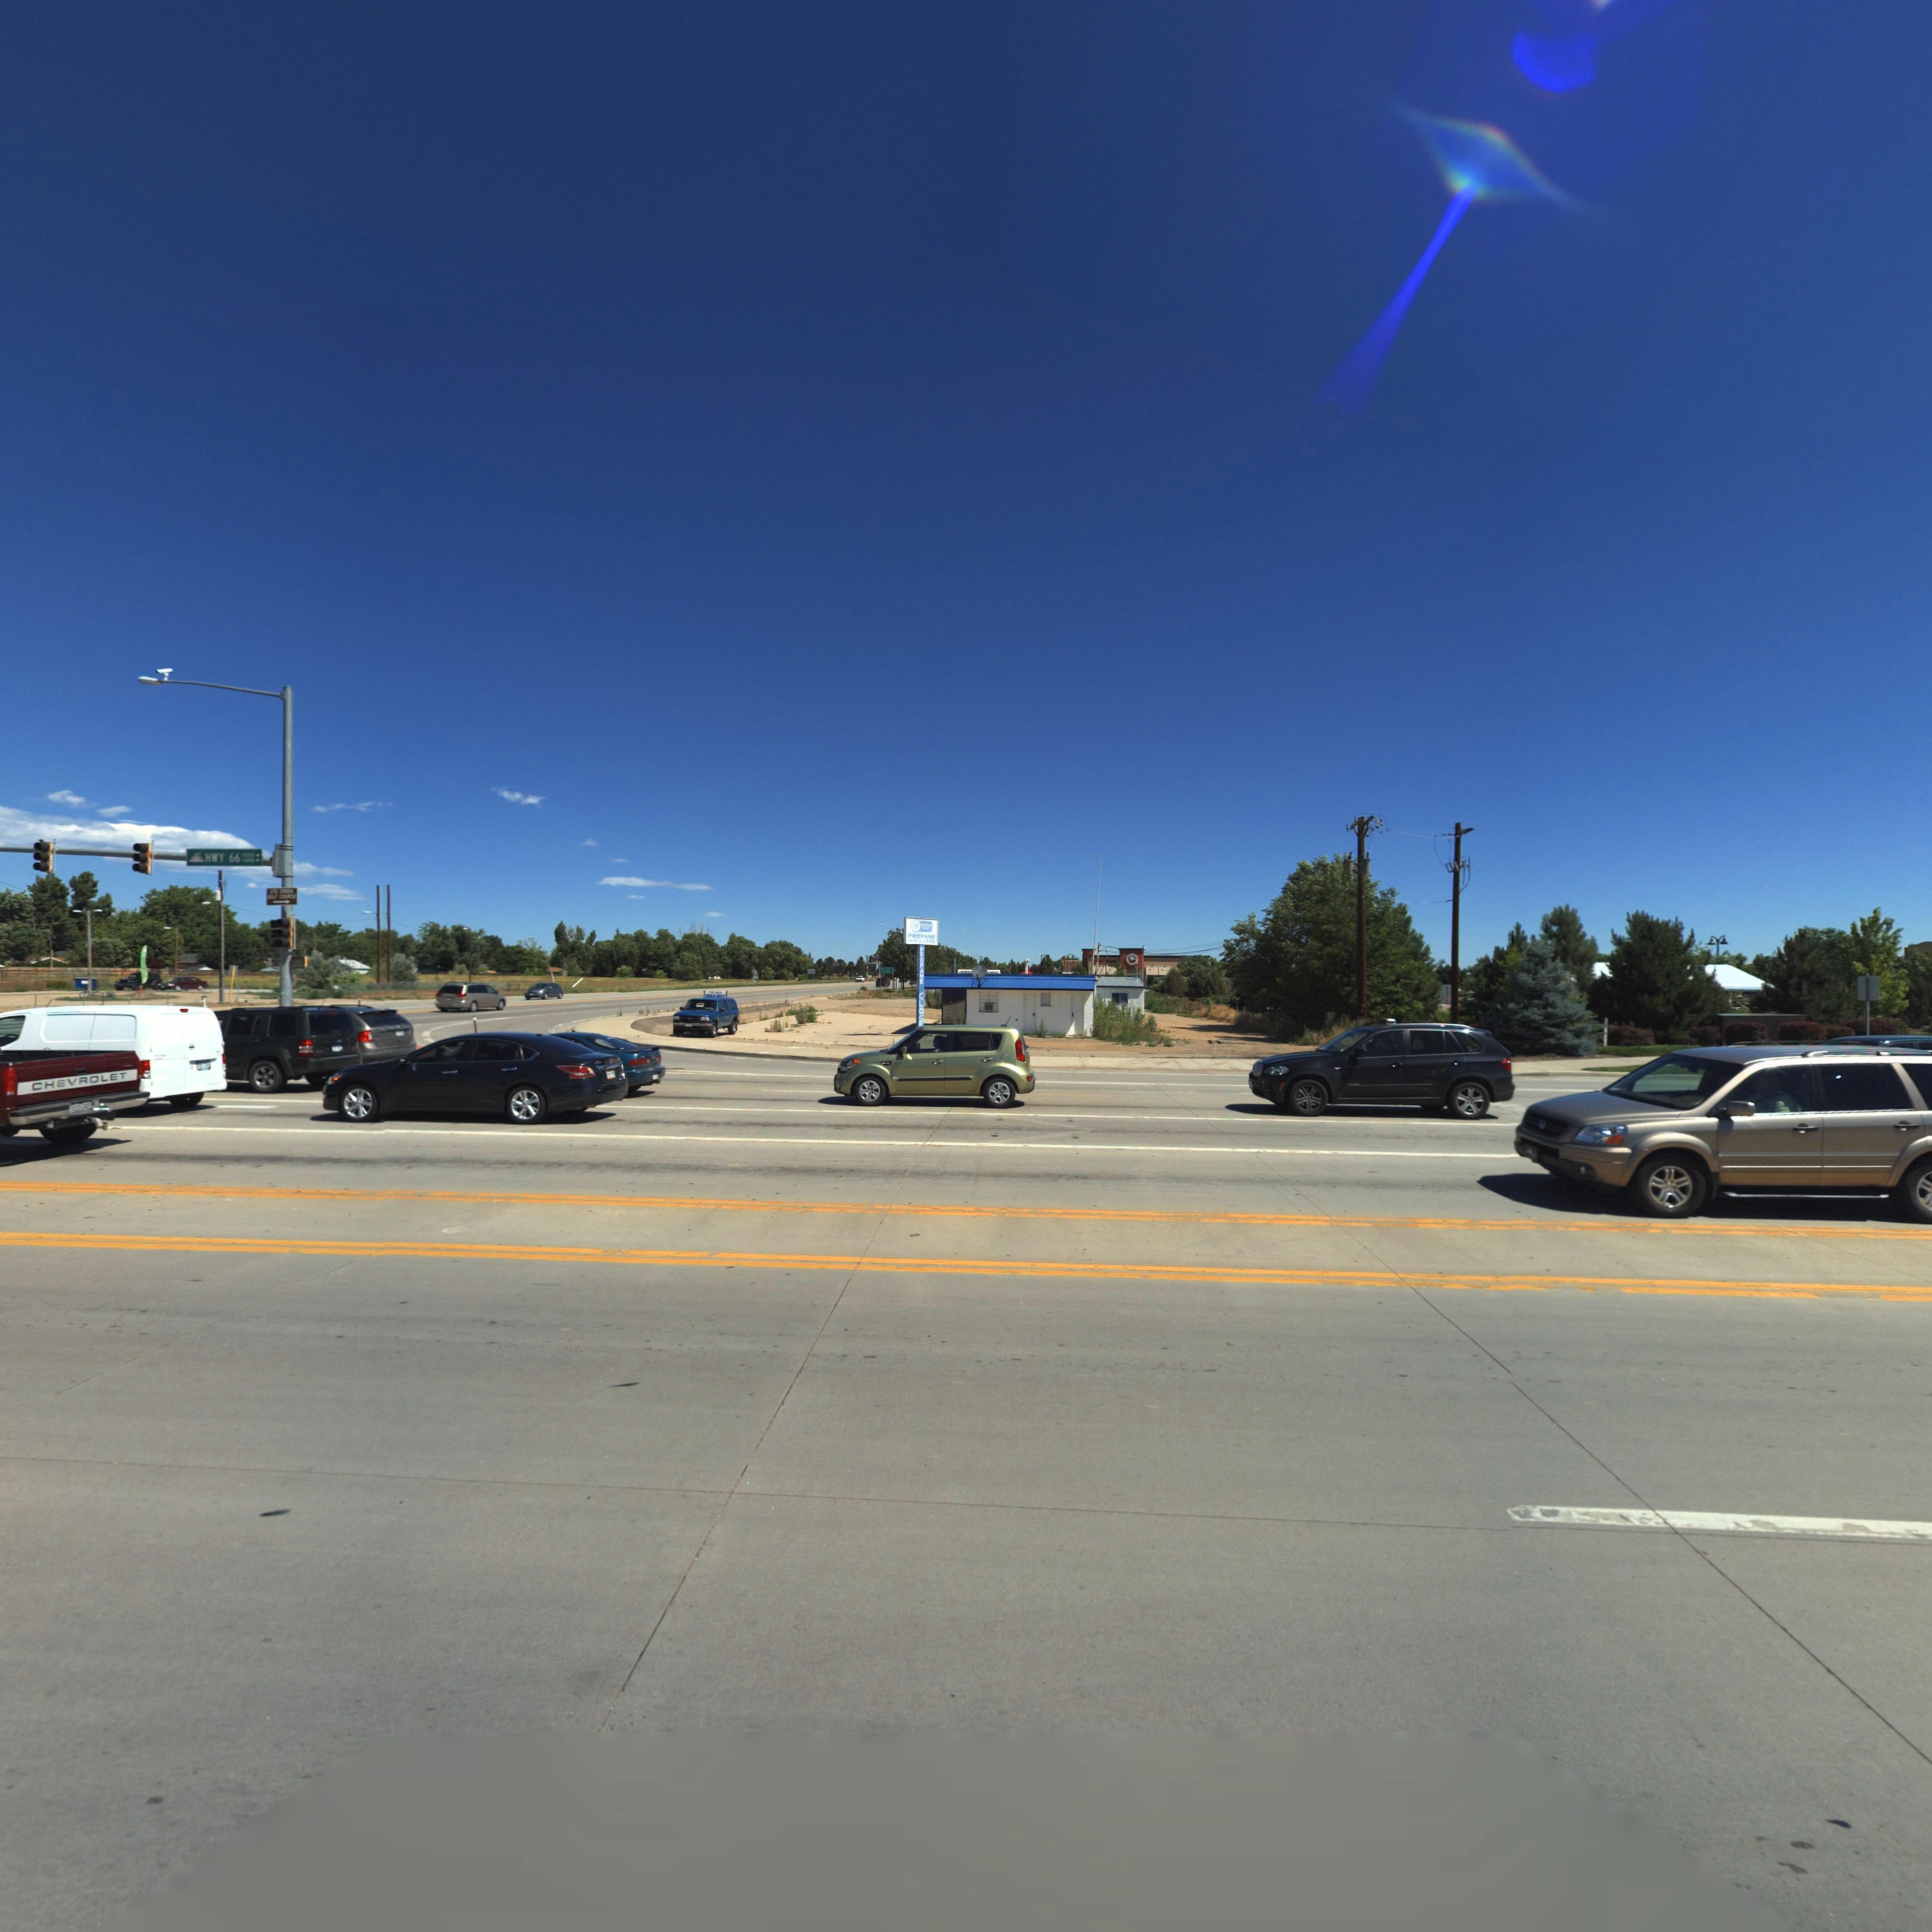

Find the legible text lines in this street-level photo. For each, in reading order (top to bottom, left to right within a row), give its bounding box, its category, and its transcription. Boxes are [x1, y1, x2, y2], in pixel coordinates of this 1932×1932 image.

[204, 852, 241, 863] StreetName: HWY 66
[241, 852, 255, 858] StreetNumberRange: 12****
[242, 858, 260, 863] StreetNumberRange: ***000